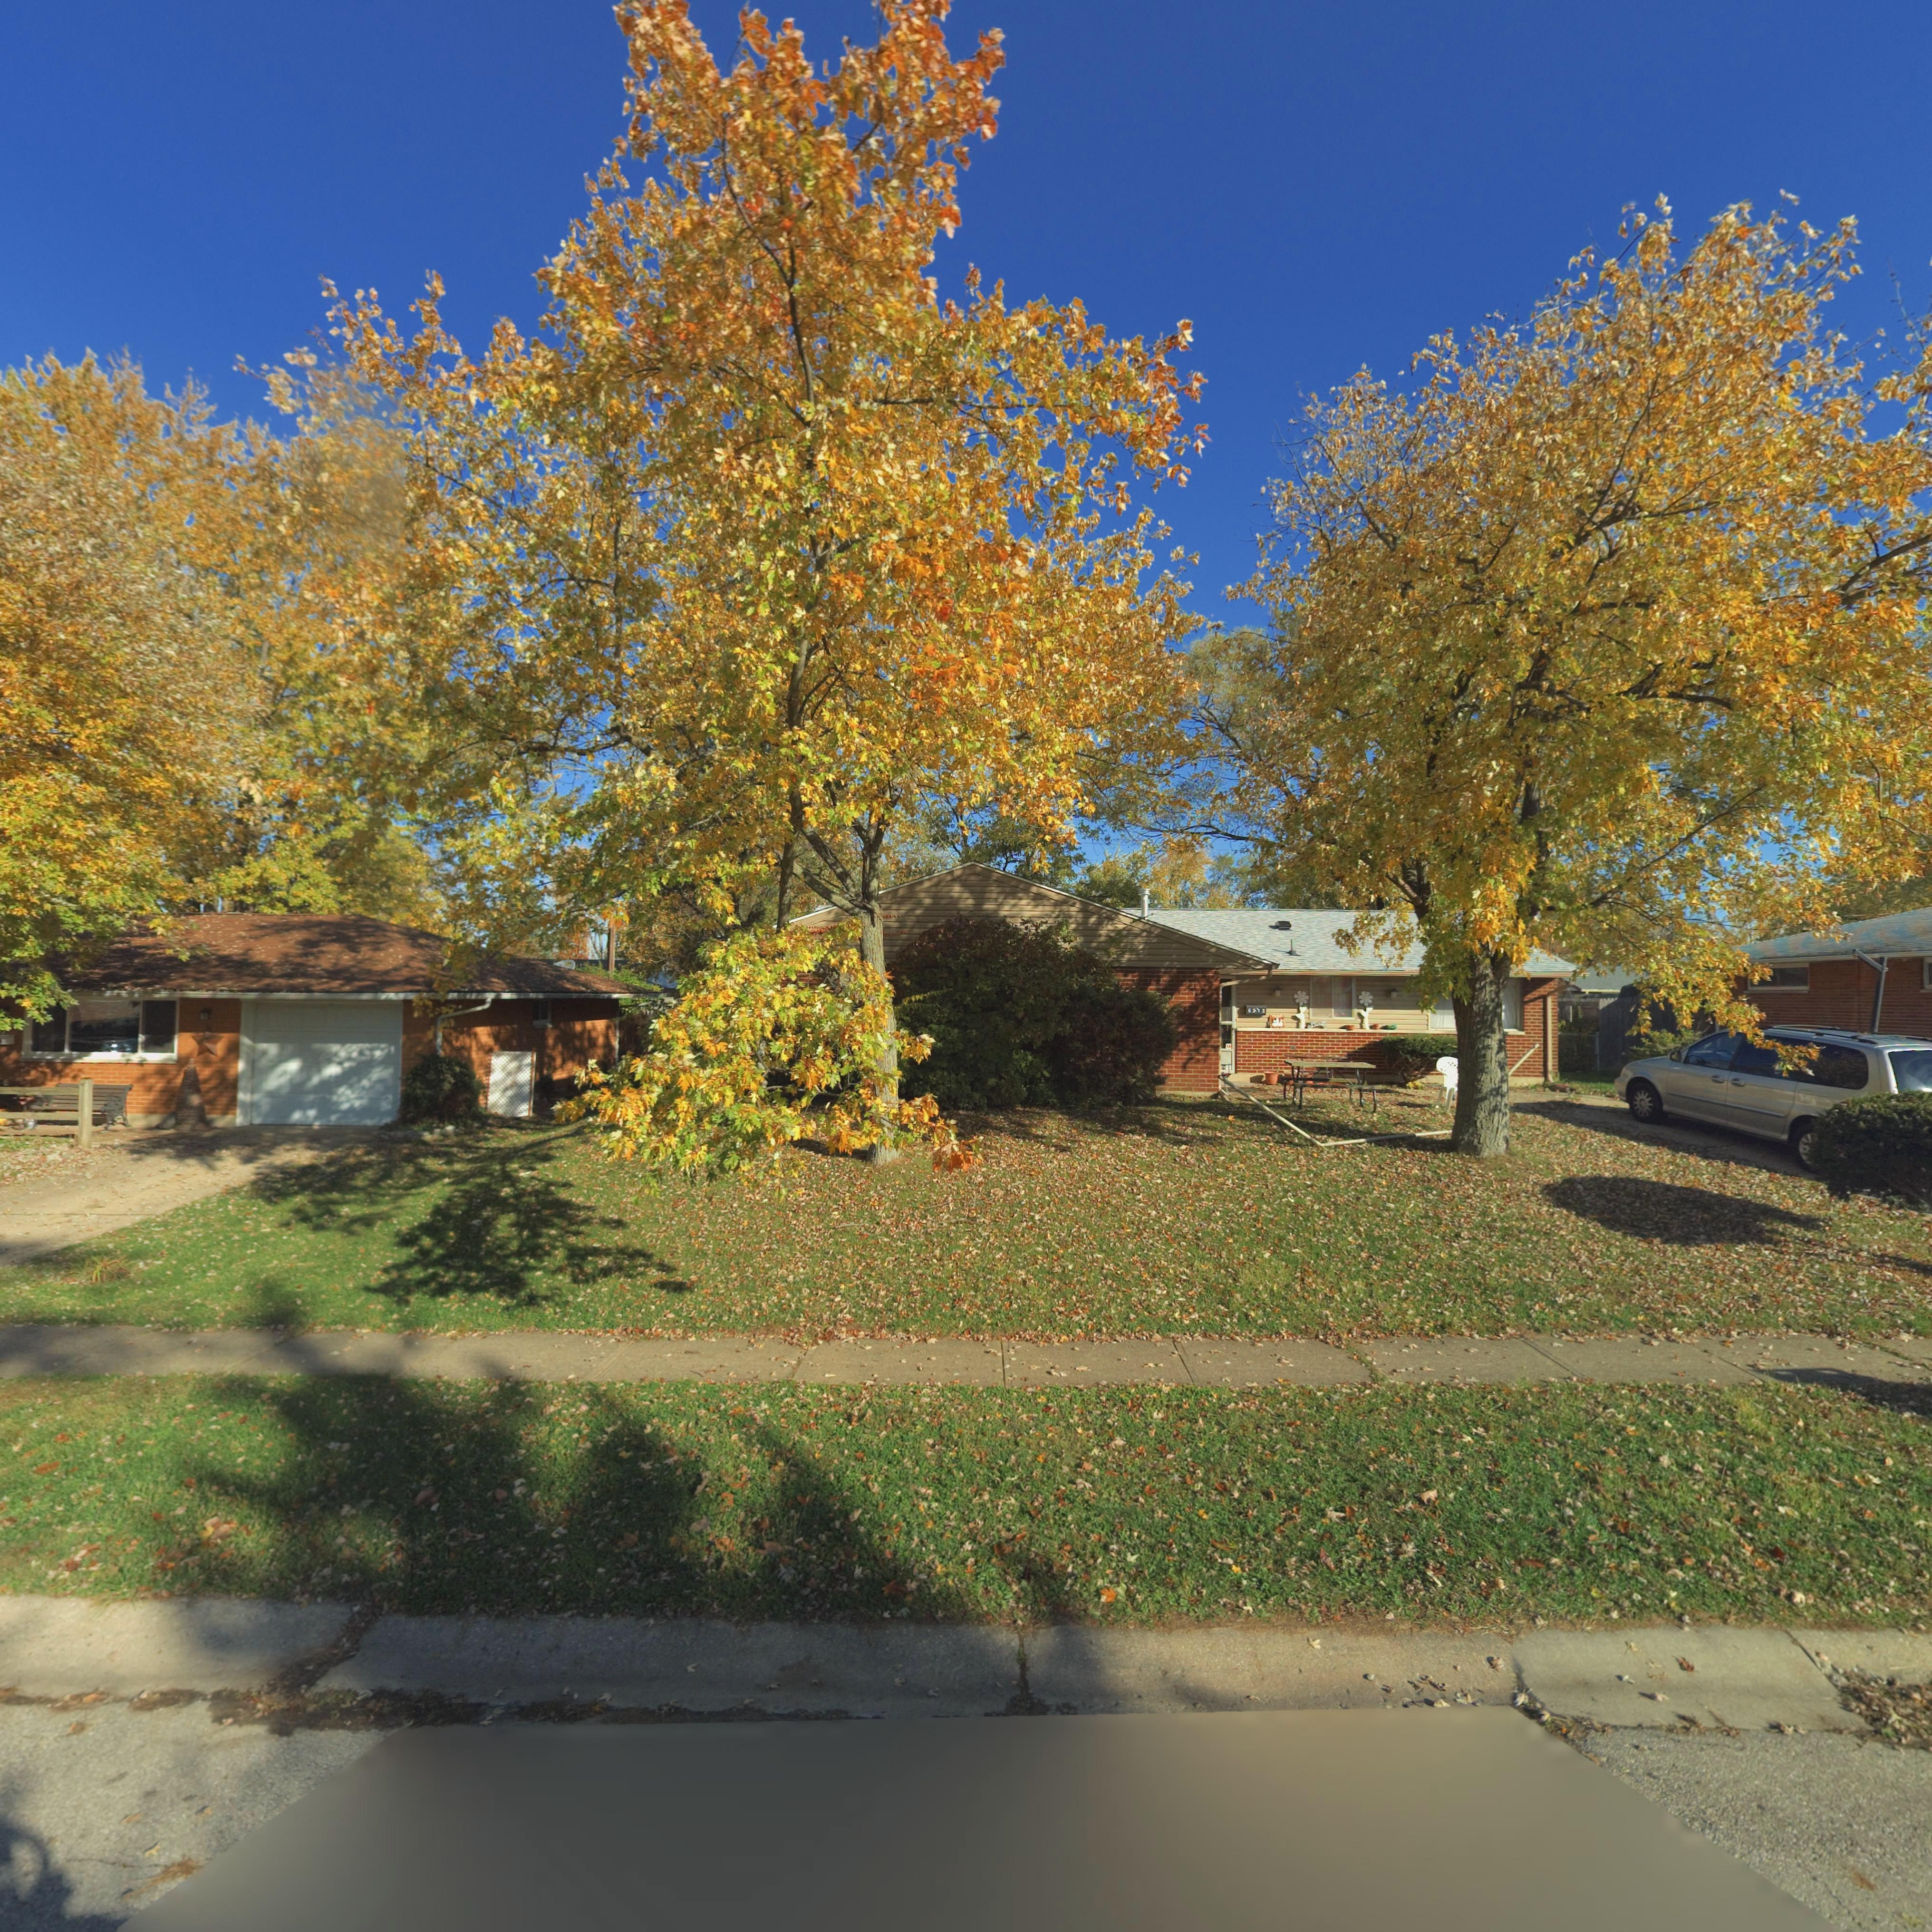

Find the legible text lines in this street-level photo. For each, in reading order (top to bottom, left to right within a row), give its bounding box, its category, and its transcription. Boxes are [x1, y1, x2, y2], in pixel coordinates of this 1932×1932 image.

[1247, 1007, 1265, 1014] StreetNumber: 6273